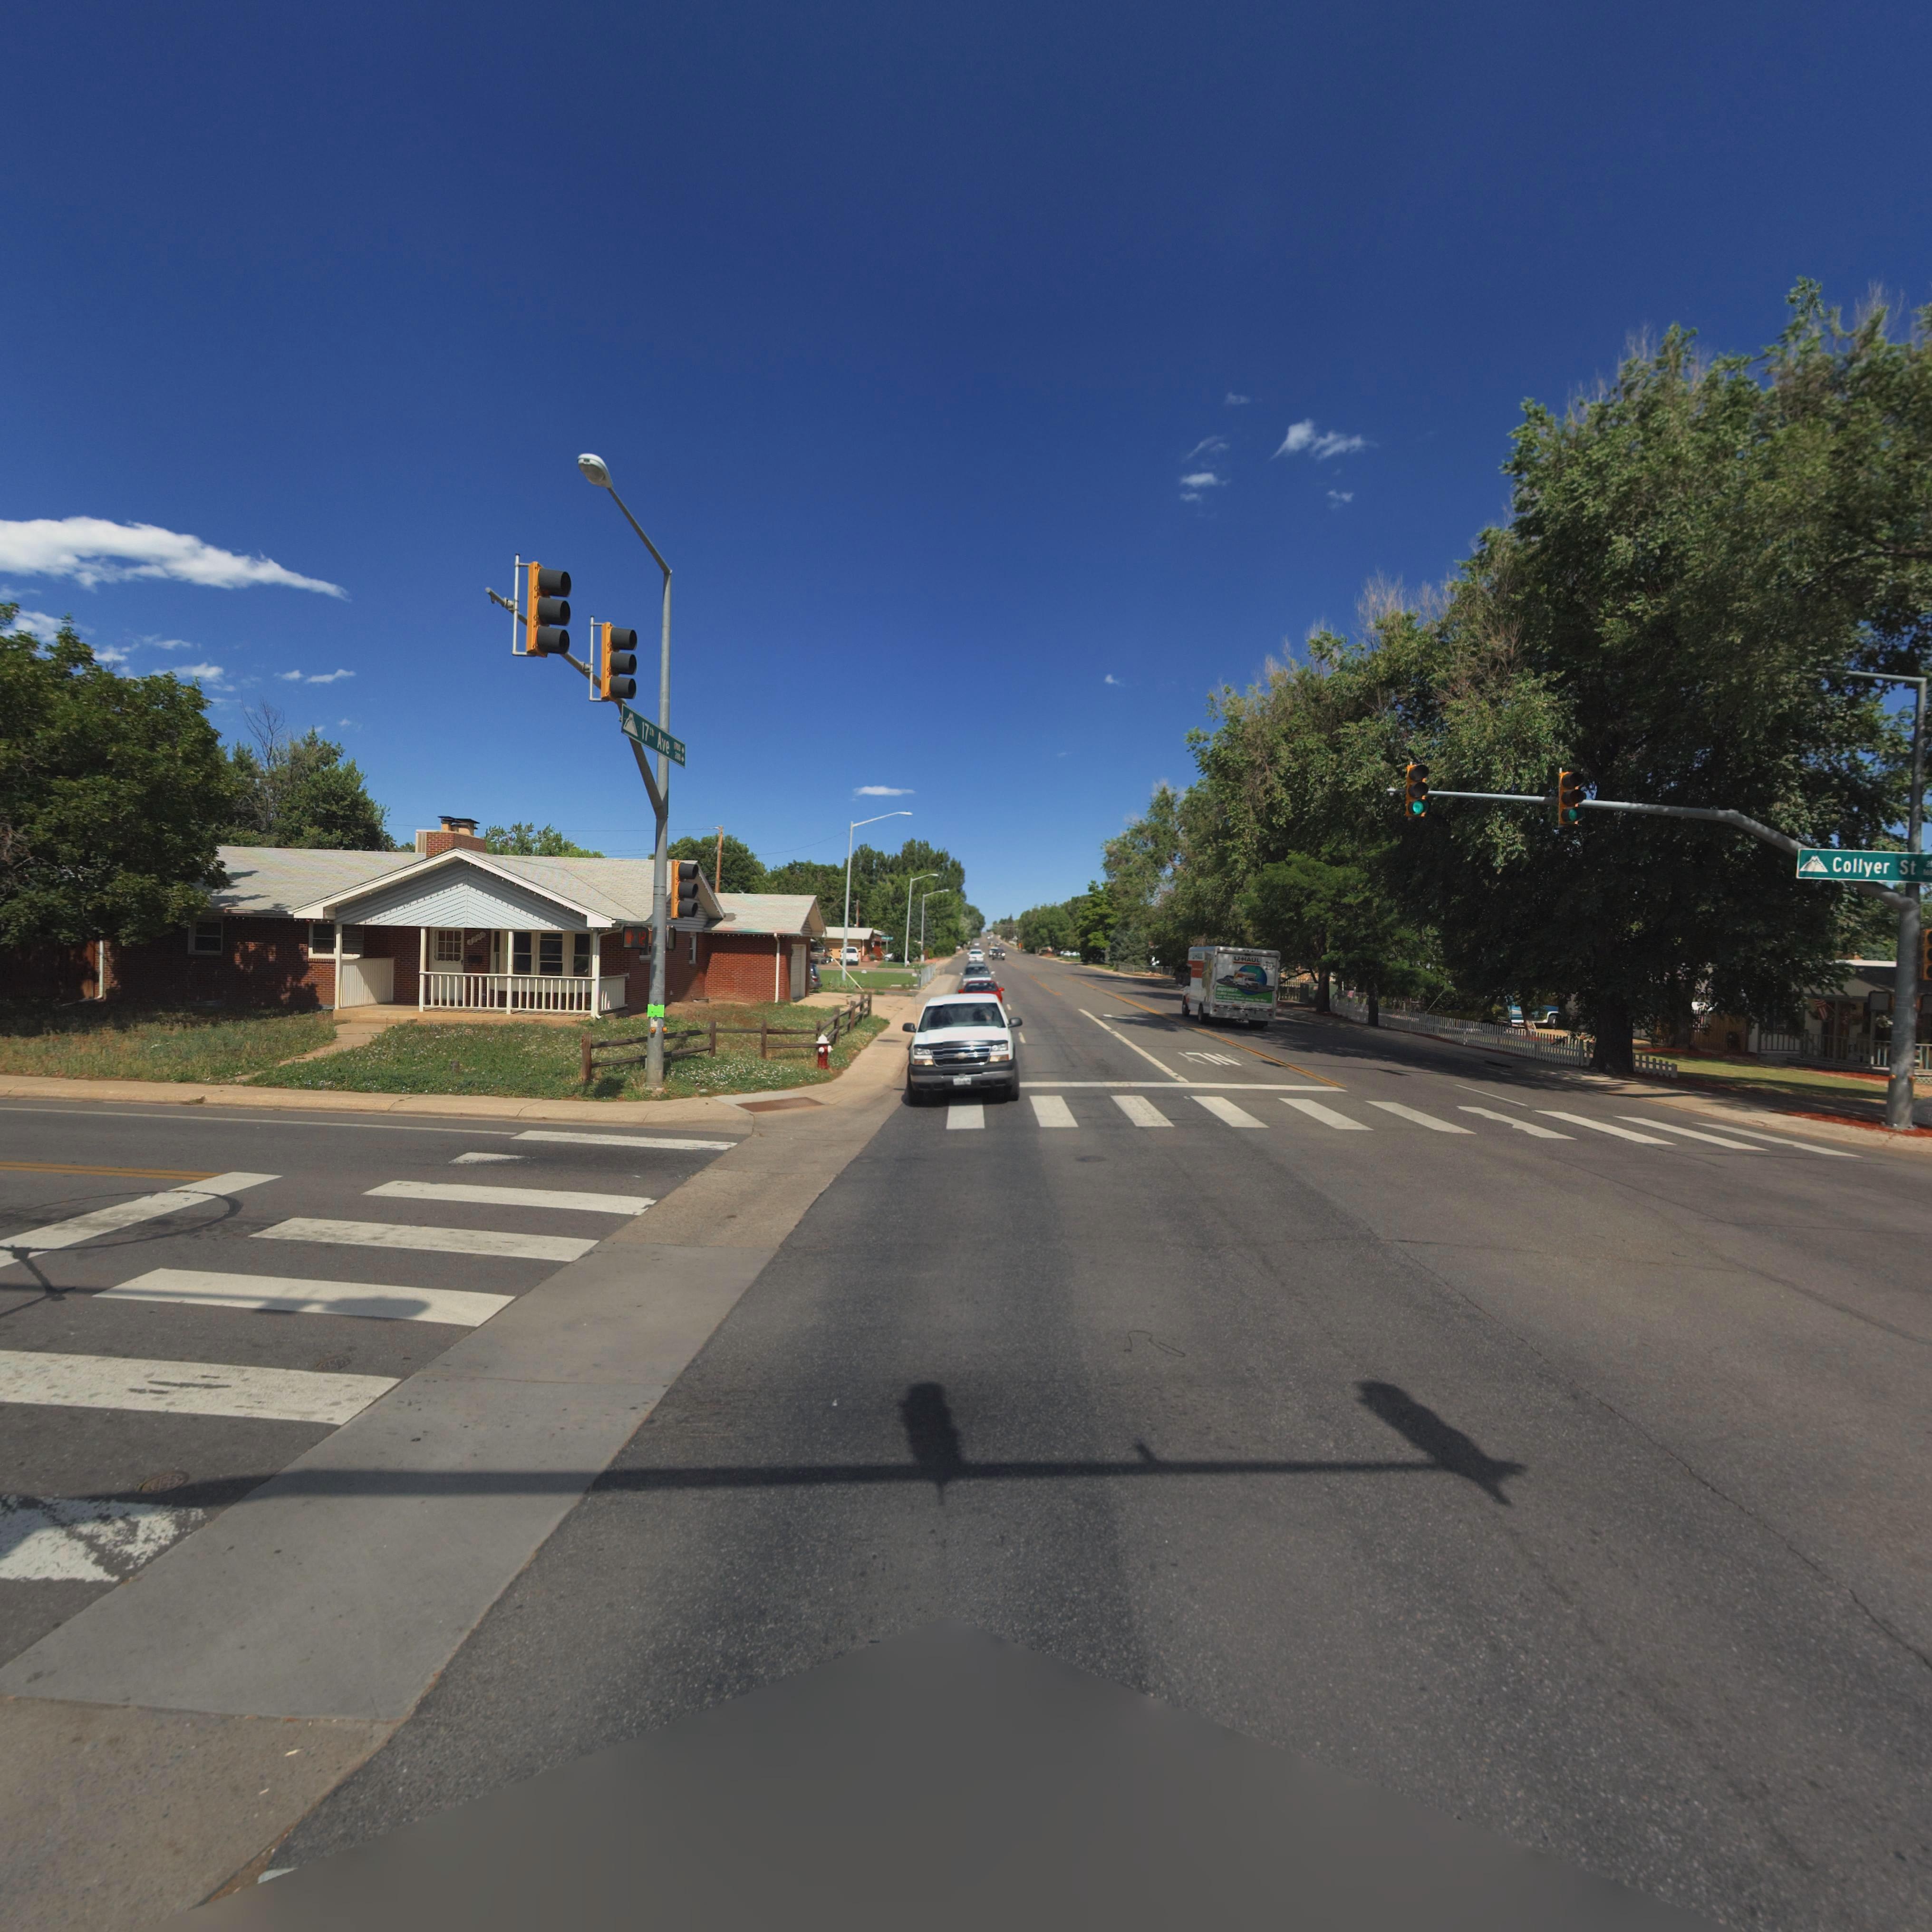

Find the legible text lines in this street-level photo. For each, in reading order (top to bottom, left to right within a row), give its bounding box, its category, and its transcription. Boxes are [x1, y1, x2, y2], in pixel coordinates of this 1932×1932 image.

[641, 721, 670, 754] StreetName: 17** Ave
[674, 741, 681, 752] StreetNumberRange: 1*00
[675, 751, 684, 762] StreetNumberRange: 200*
[1832, 856, 1916, 878] StreetName: Collyer St
[1923, 869, 1930, 876] StreetNumberRange: 16
[1926, 860, 1931, 868] StreetNumberRange: 2
[469, 931, 485, 945] StreetNumber: 1*0*